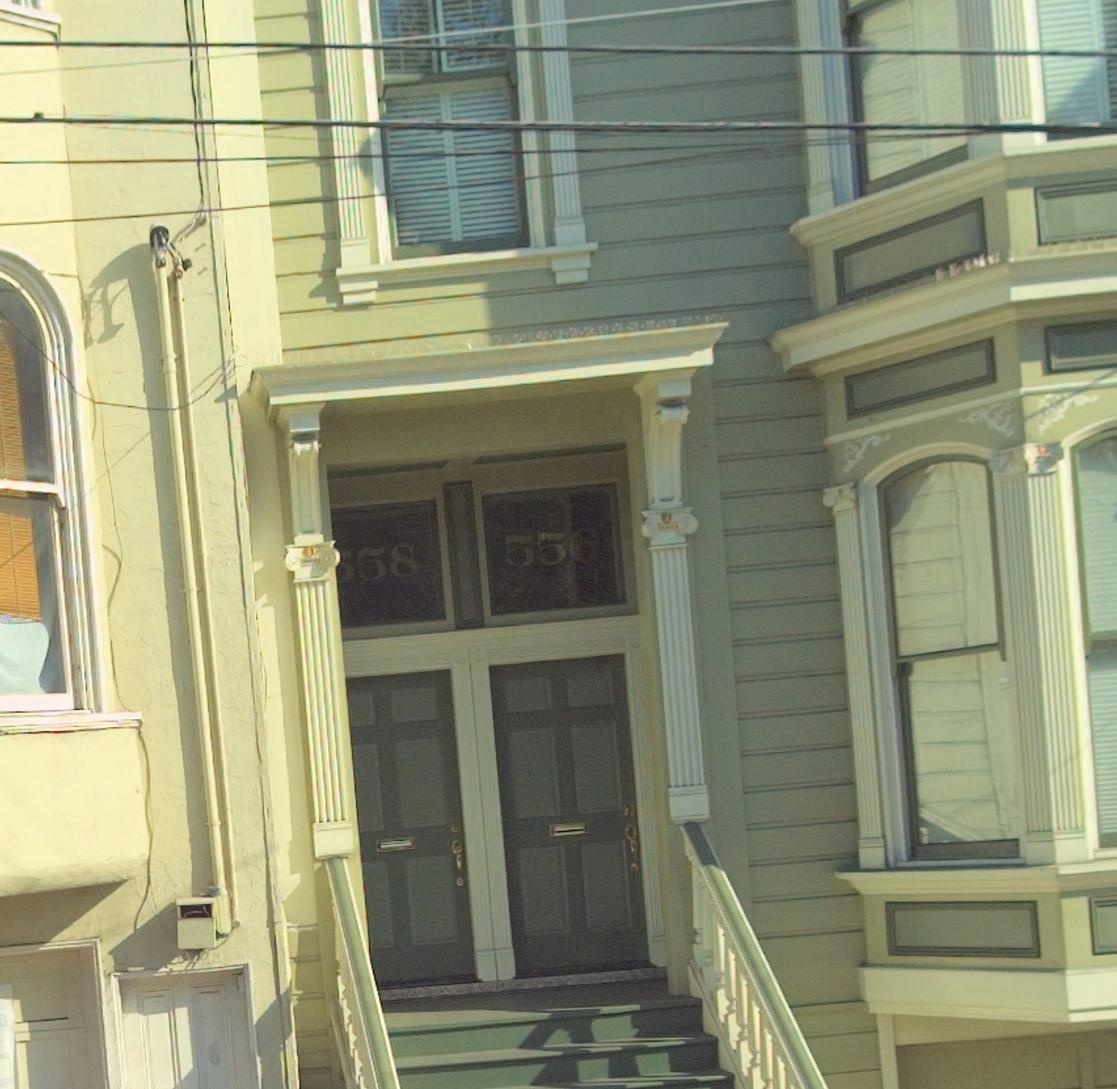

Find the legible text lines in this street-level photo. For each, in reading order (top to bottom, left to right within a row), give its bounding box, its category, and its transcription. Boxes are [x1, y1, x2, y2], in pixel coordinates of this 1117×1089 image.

[336, 540, 420, 584] StreetNumber: *58
[501, 523, 602, 569] StreetNumber: 556